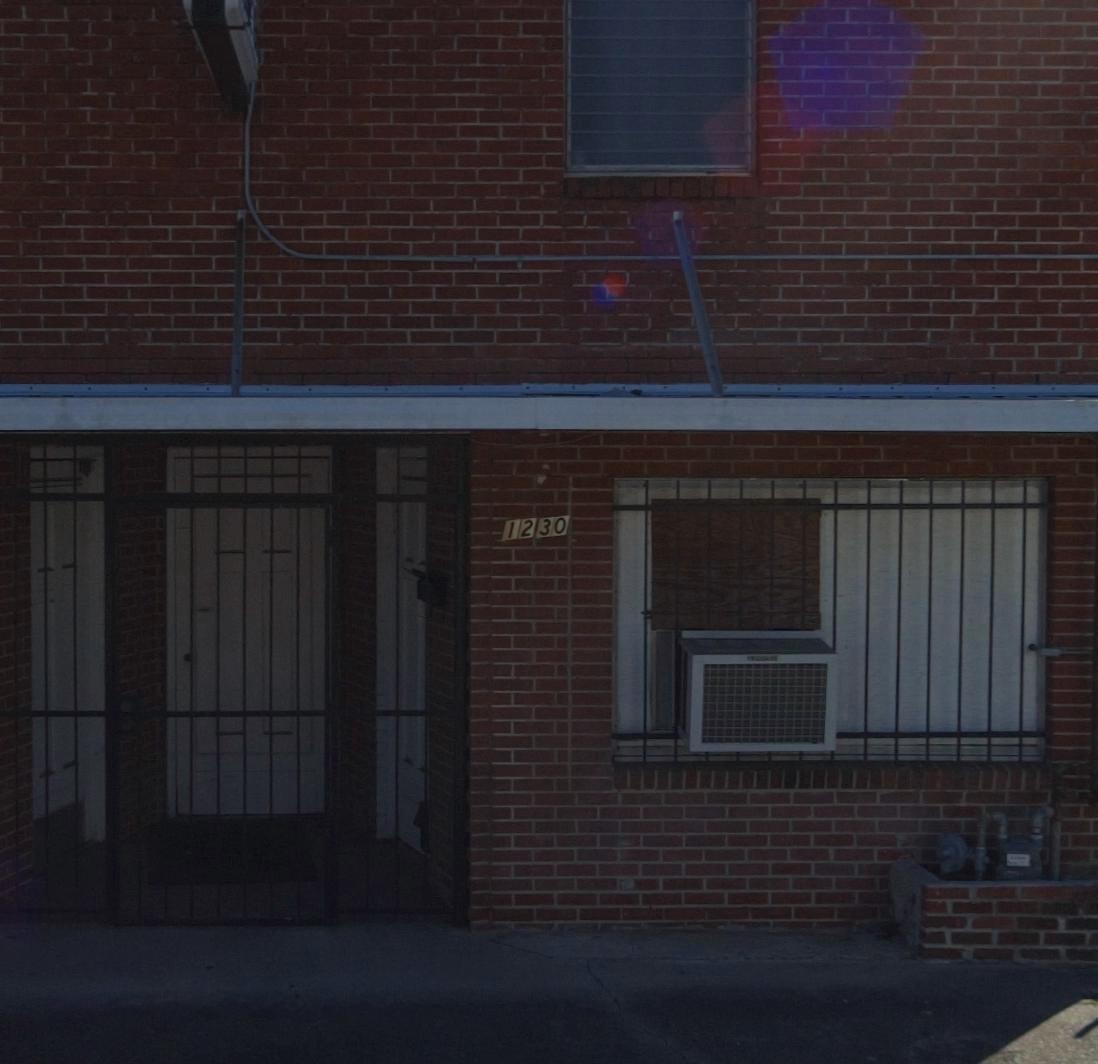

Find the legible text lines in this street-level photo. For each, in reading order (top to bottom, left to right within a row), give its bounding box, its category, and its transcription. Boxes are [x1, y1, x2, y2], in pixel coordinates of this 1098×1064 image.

[505, 515, 569, 540] StreetNumber: 1230